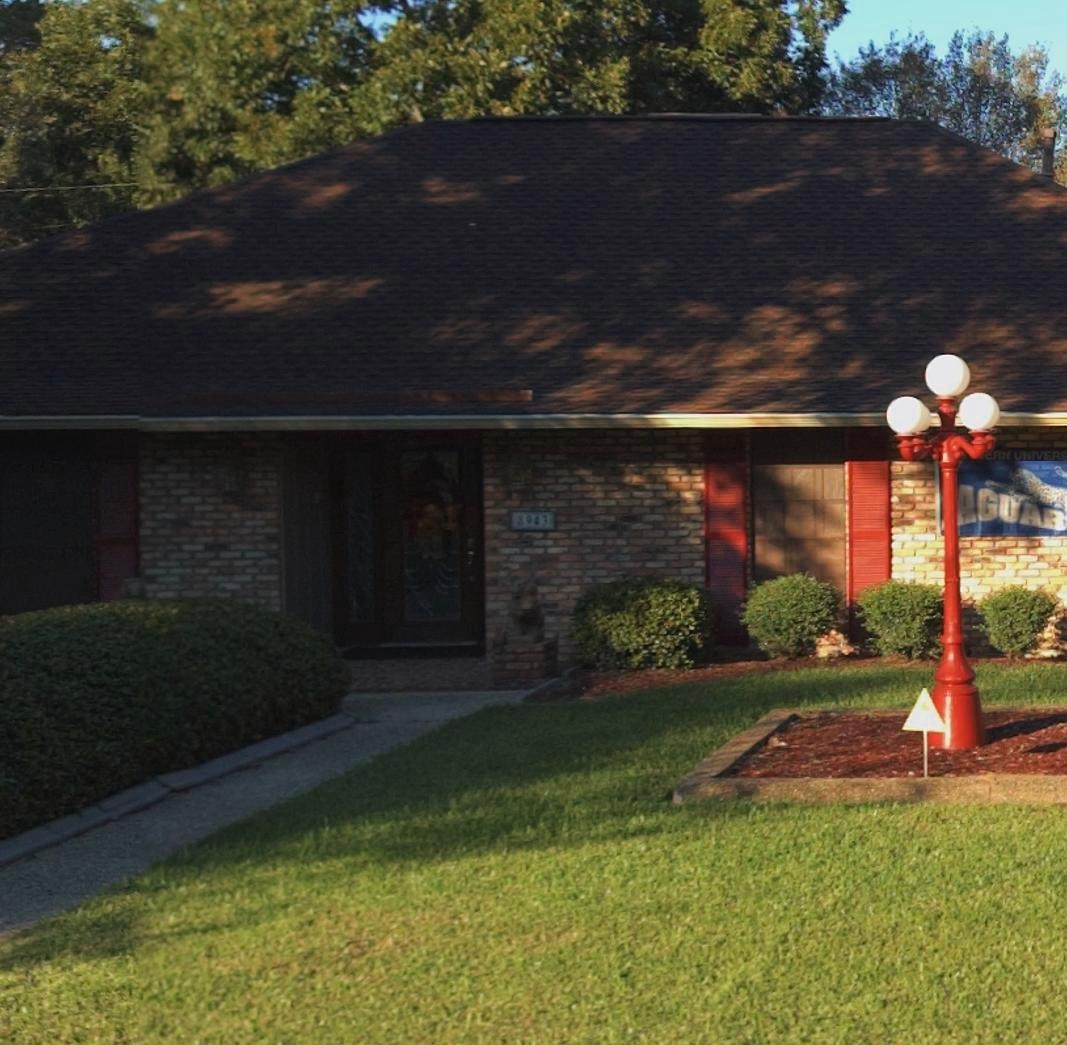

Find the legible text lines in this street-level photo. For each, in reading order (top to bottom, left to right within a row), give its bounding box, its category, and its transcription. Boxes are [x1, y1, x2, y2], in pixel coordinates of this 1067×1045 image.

[993, 449, 1066, 460] None: RN UNIVERS
[956, 483, 1065, 532] None: AGUAR
[517, 514, 548, 526] StreetNumber: 8943